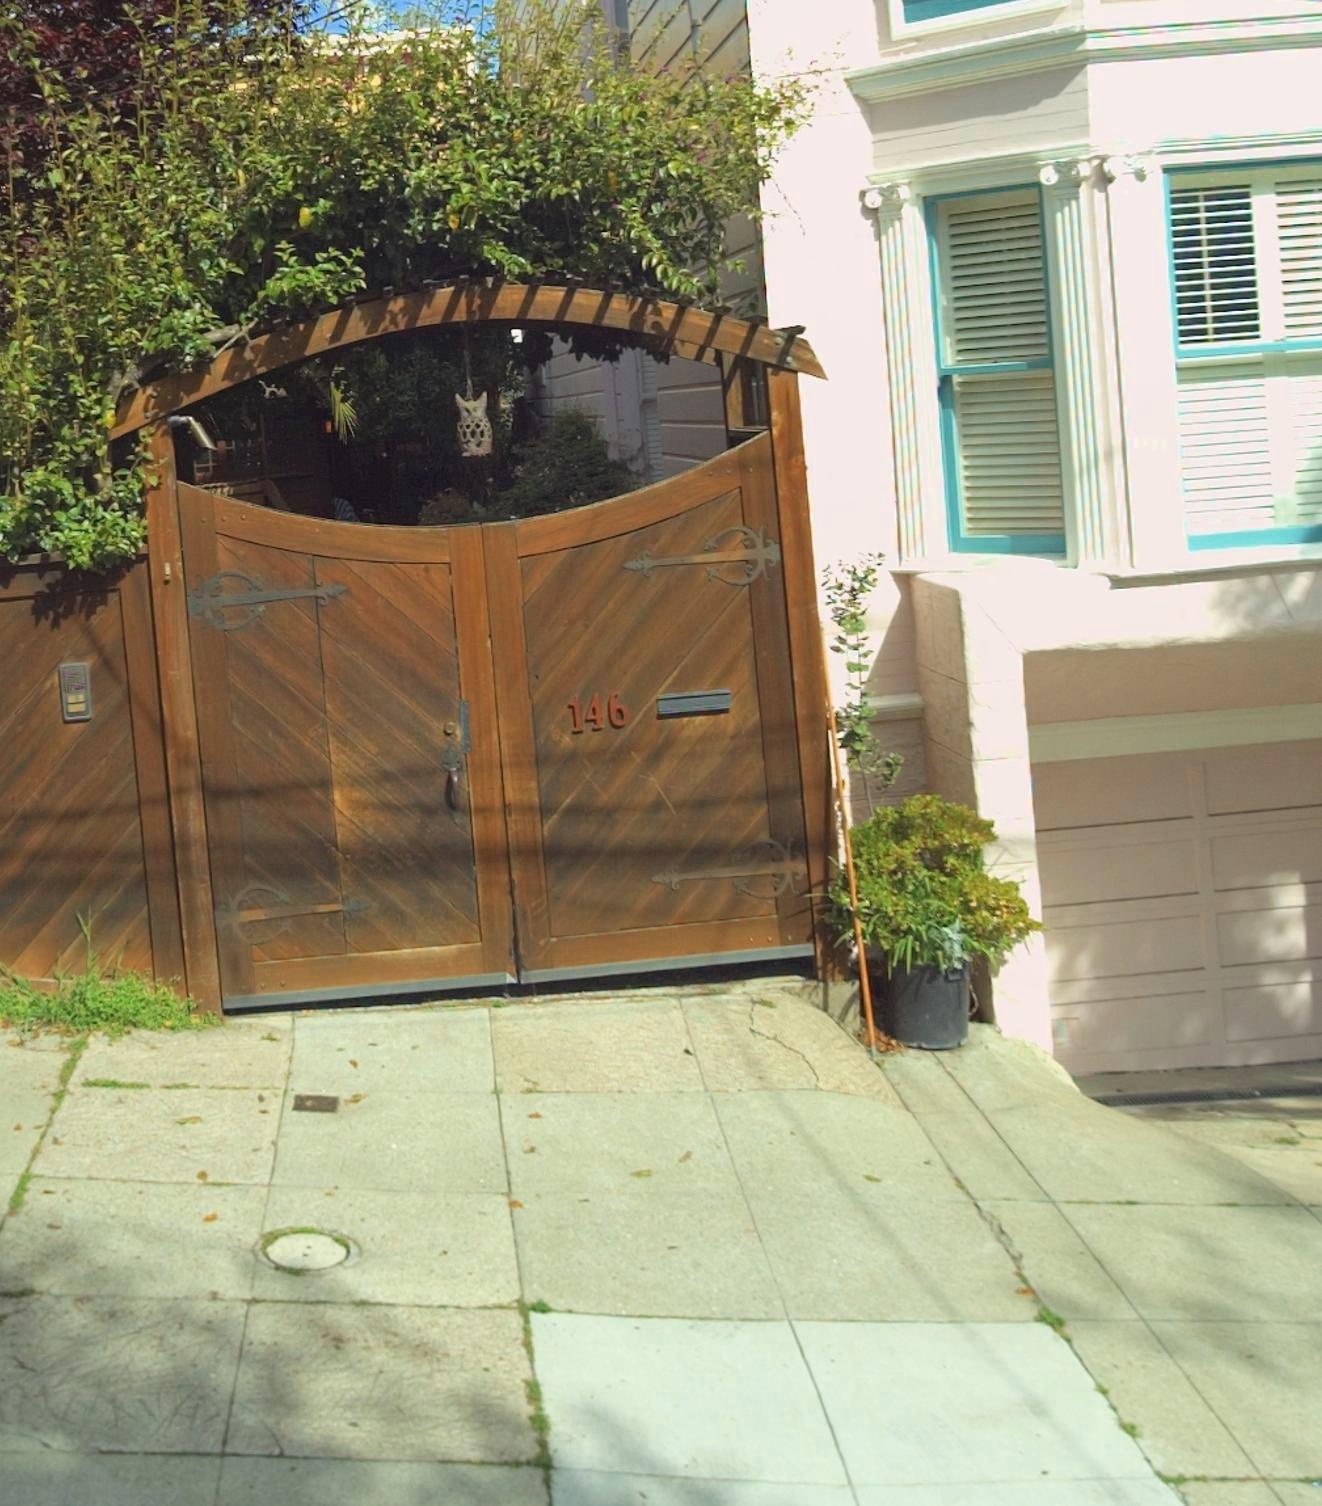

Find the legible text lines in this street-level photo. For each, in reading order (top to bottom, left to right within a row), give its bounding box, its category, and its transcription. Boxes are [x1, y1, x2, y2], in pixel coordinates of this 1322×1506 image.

[565, 686, 632, 736] StreetNumber: 146